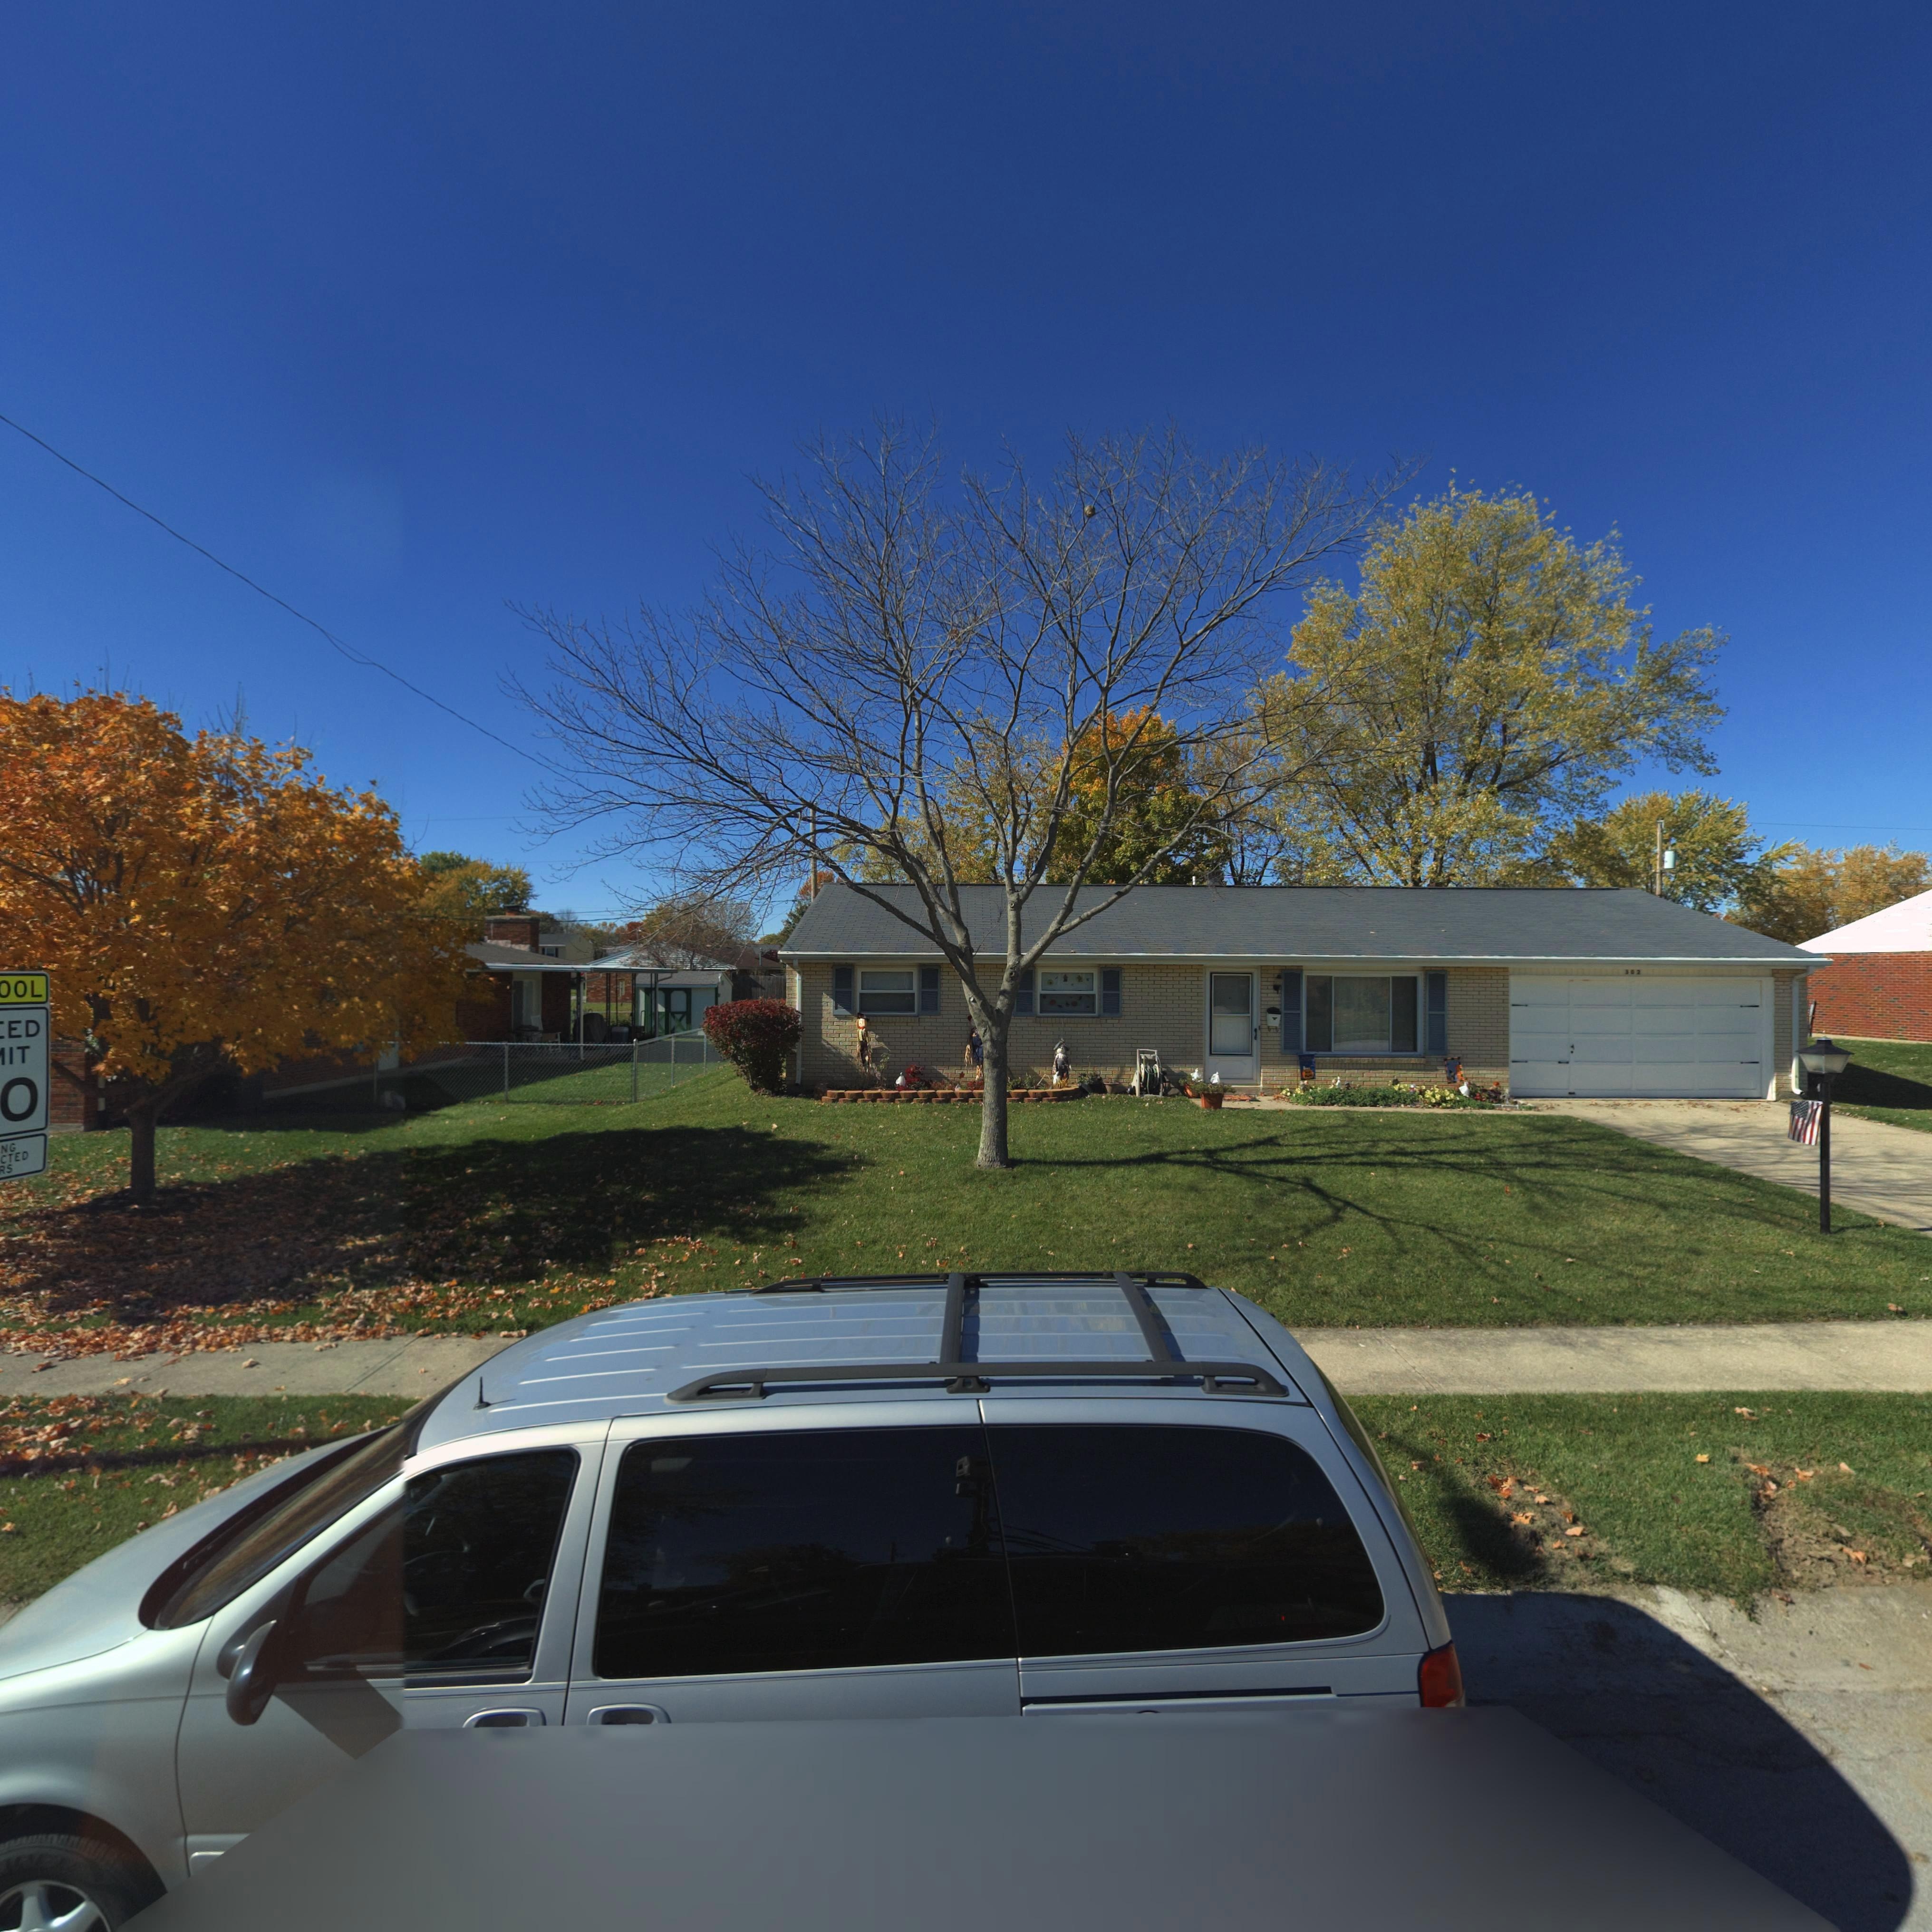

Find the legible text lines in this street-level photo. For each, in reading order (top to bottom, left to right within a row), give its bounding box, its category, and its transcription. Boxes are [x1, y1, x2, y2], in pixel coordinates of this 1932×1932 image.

[1624, 969, 1641, 975] StreetNumber: 302